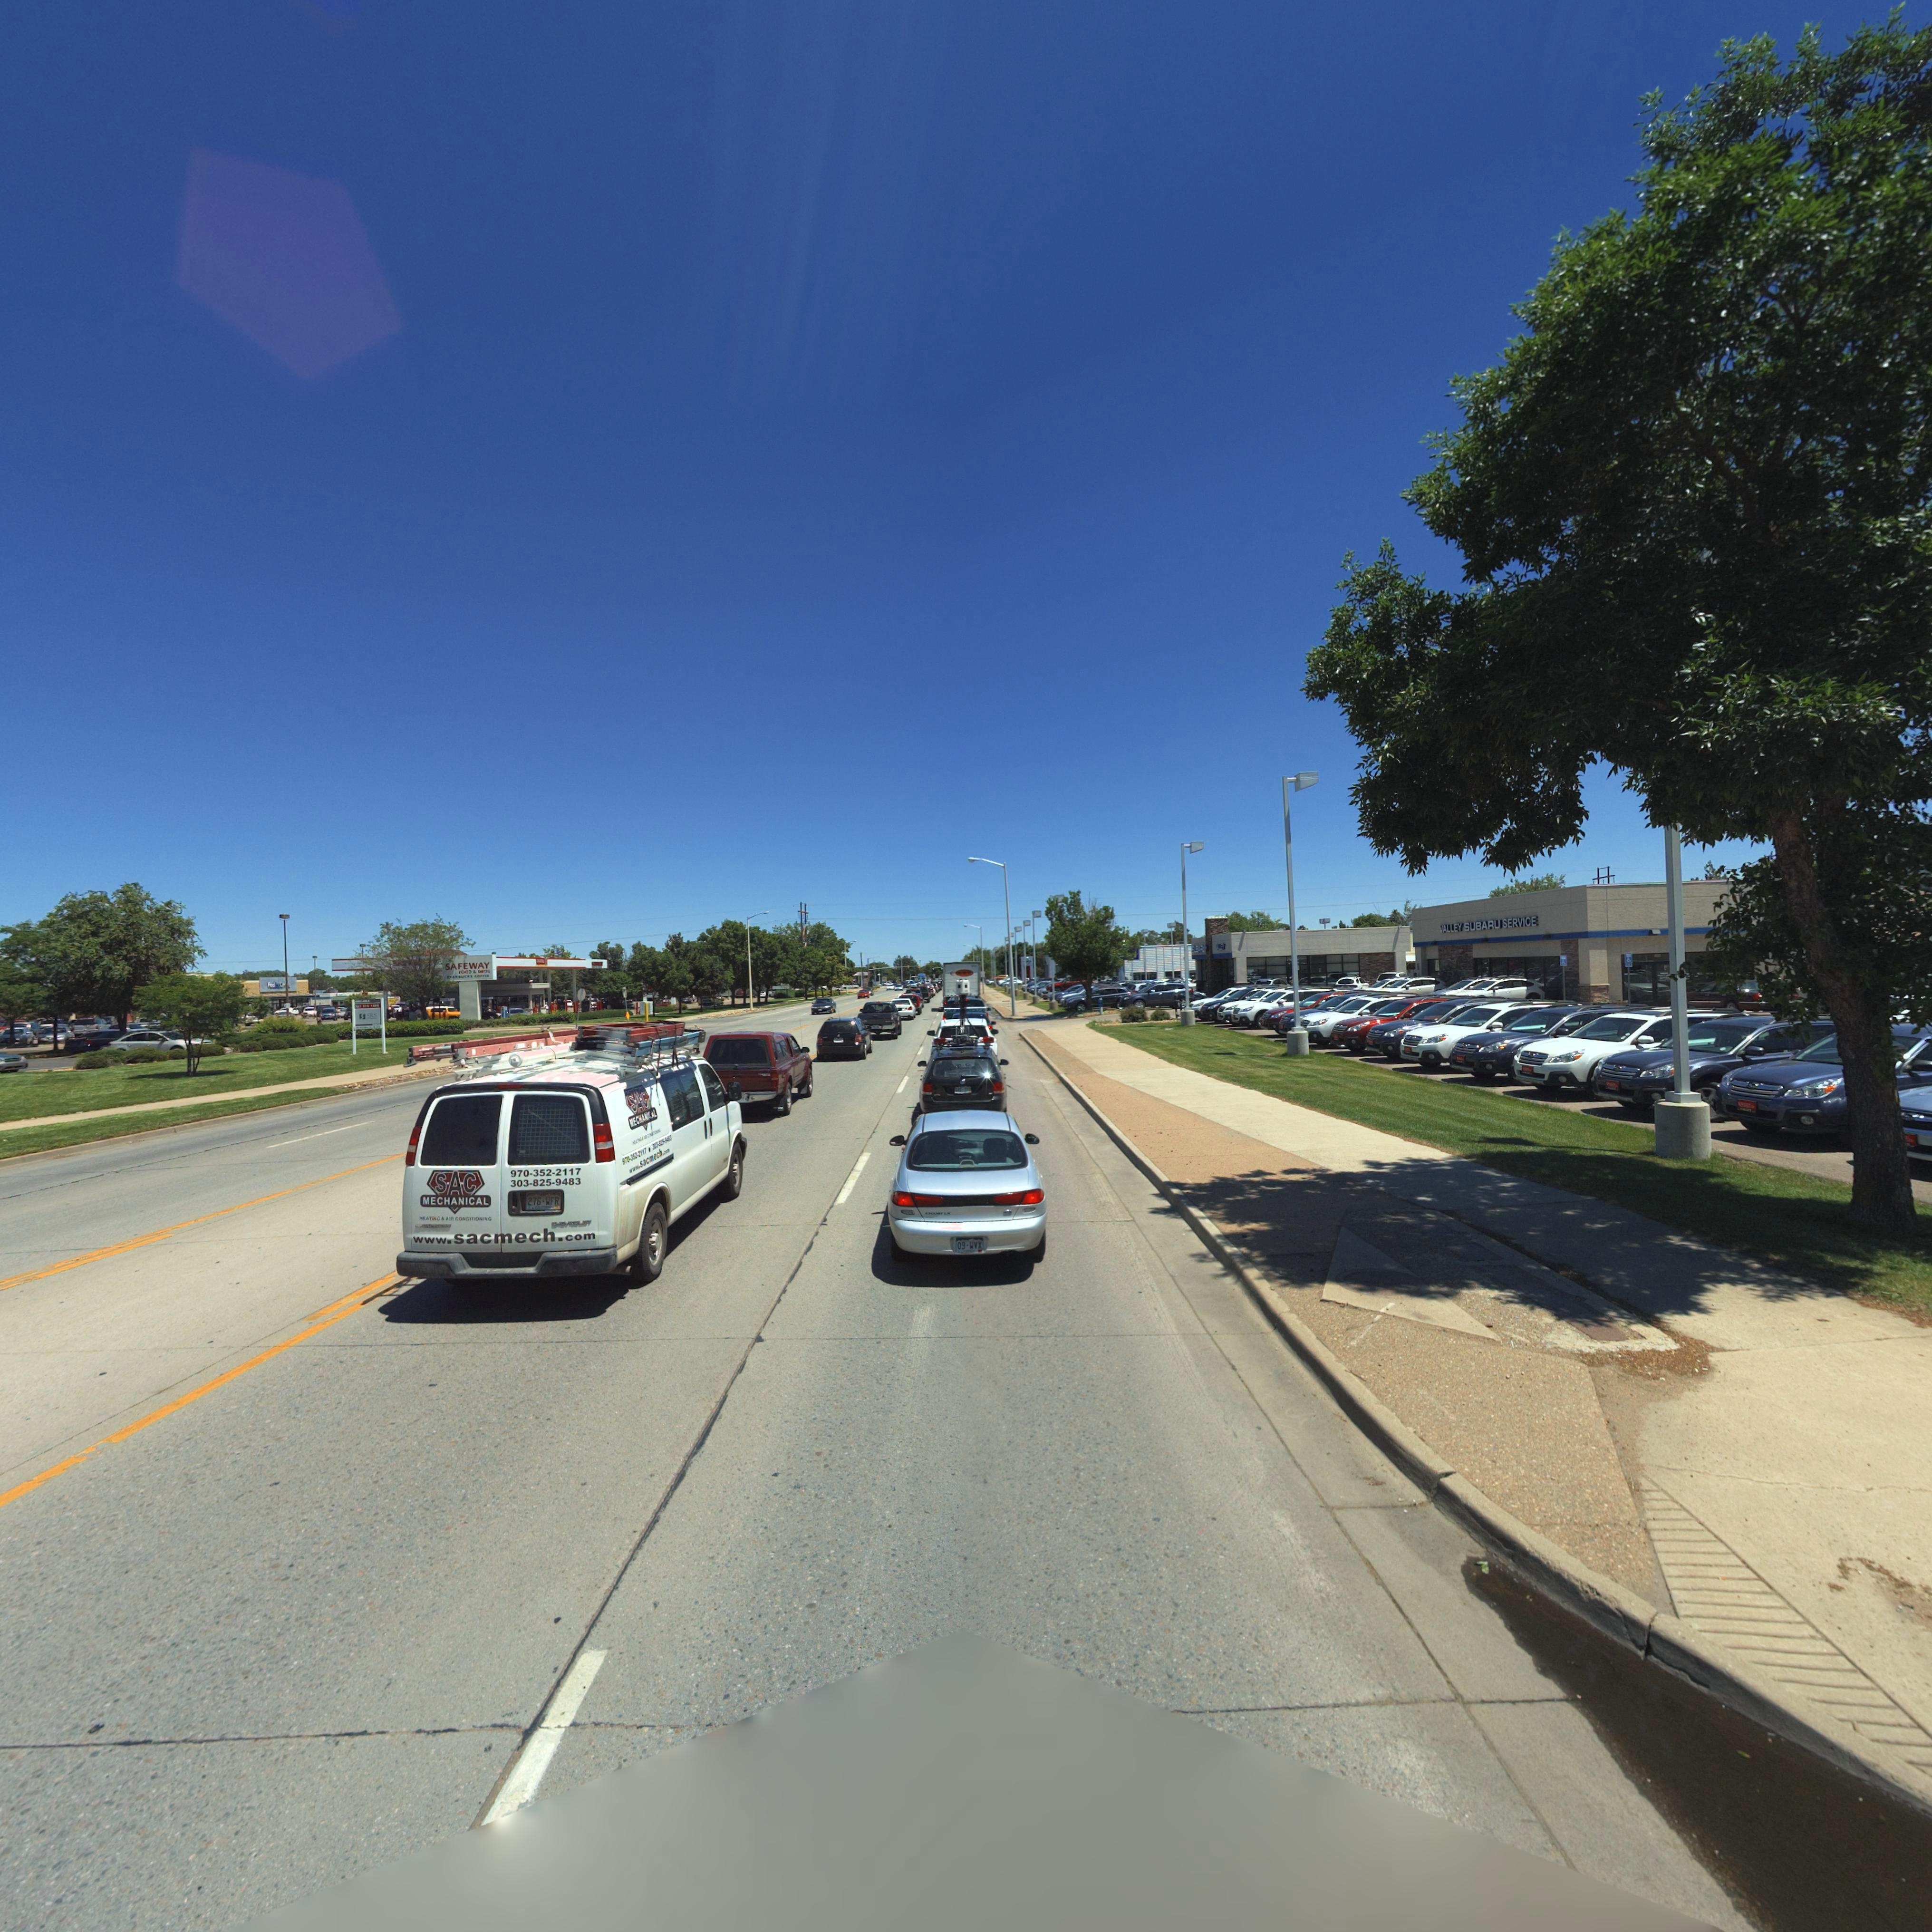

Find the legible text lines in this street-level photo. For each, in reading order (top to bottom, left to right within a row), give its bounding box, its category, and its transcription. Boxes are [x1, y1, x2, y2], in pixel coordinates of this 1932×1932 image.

[1191, 944, 1207, 953] BusinessName: **BAR*
[444, 961, 490, 970] BusinessName: SAFEWAY
[446, 974, 489, 978] BusinessName: *****UCK* CO****
[268, 981, 290, 987] BusinessName: Fed********